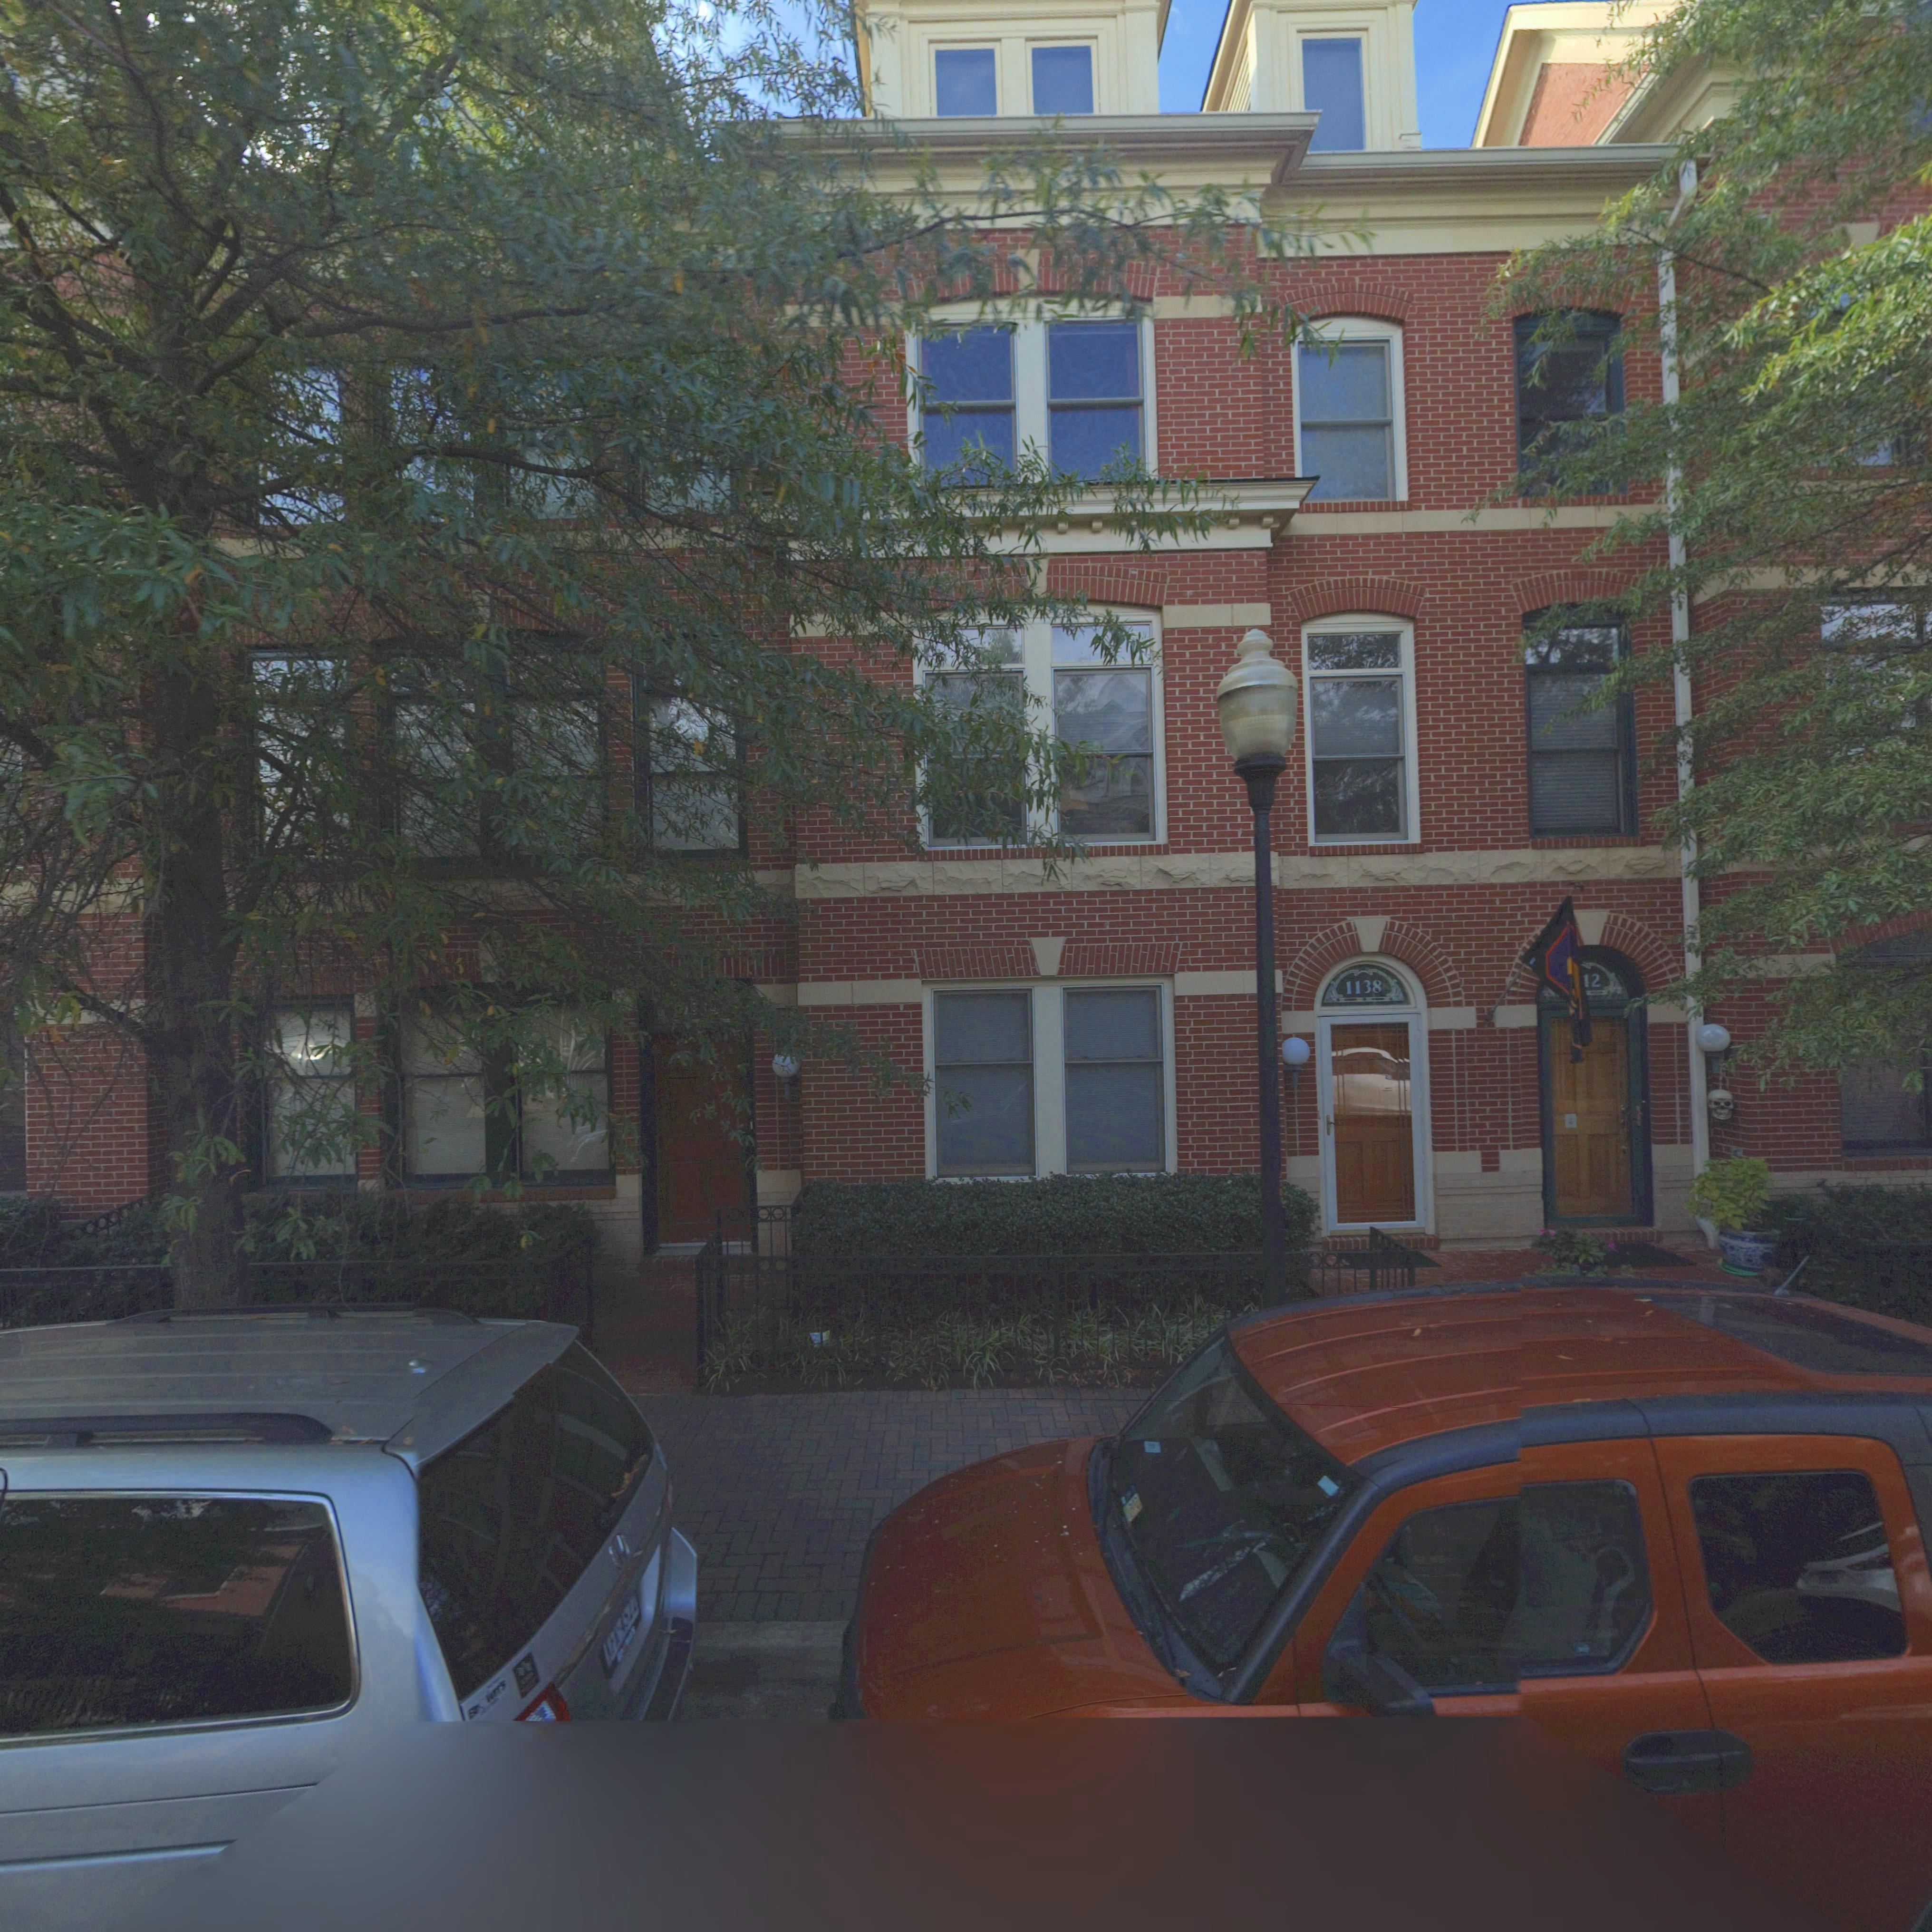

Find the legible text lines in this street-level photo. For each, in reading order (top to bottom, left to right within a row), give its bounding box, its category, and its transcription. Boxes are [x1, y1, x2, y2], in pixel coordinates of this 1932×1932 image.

[1344, 978, 1383, 996] StreetNumber: 1138
[1582, 972, 1603, 989] StreetNumber: 12